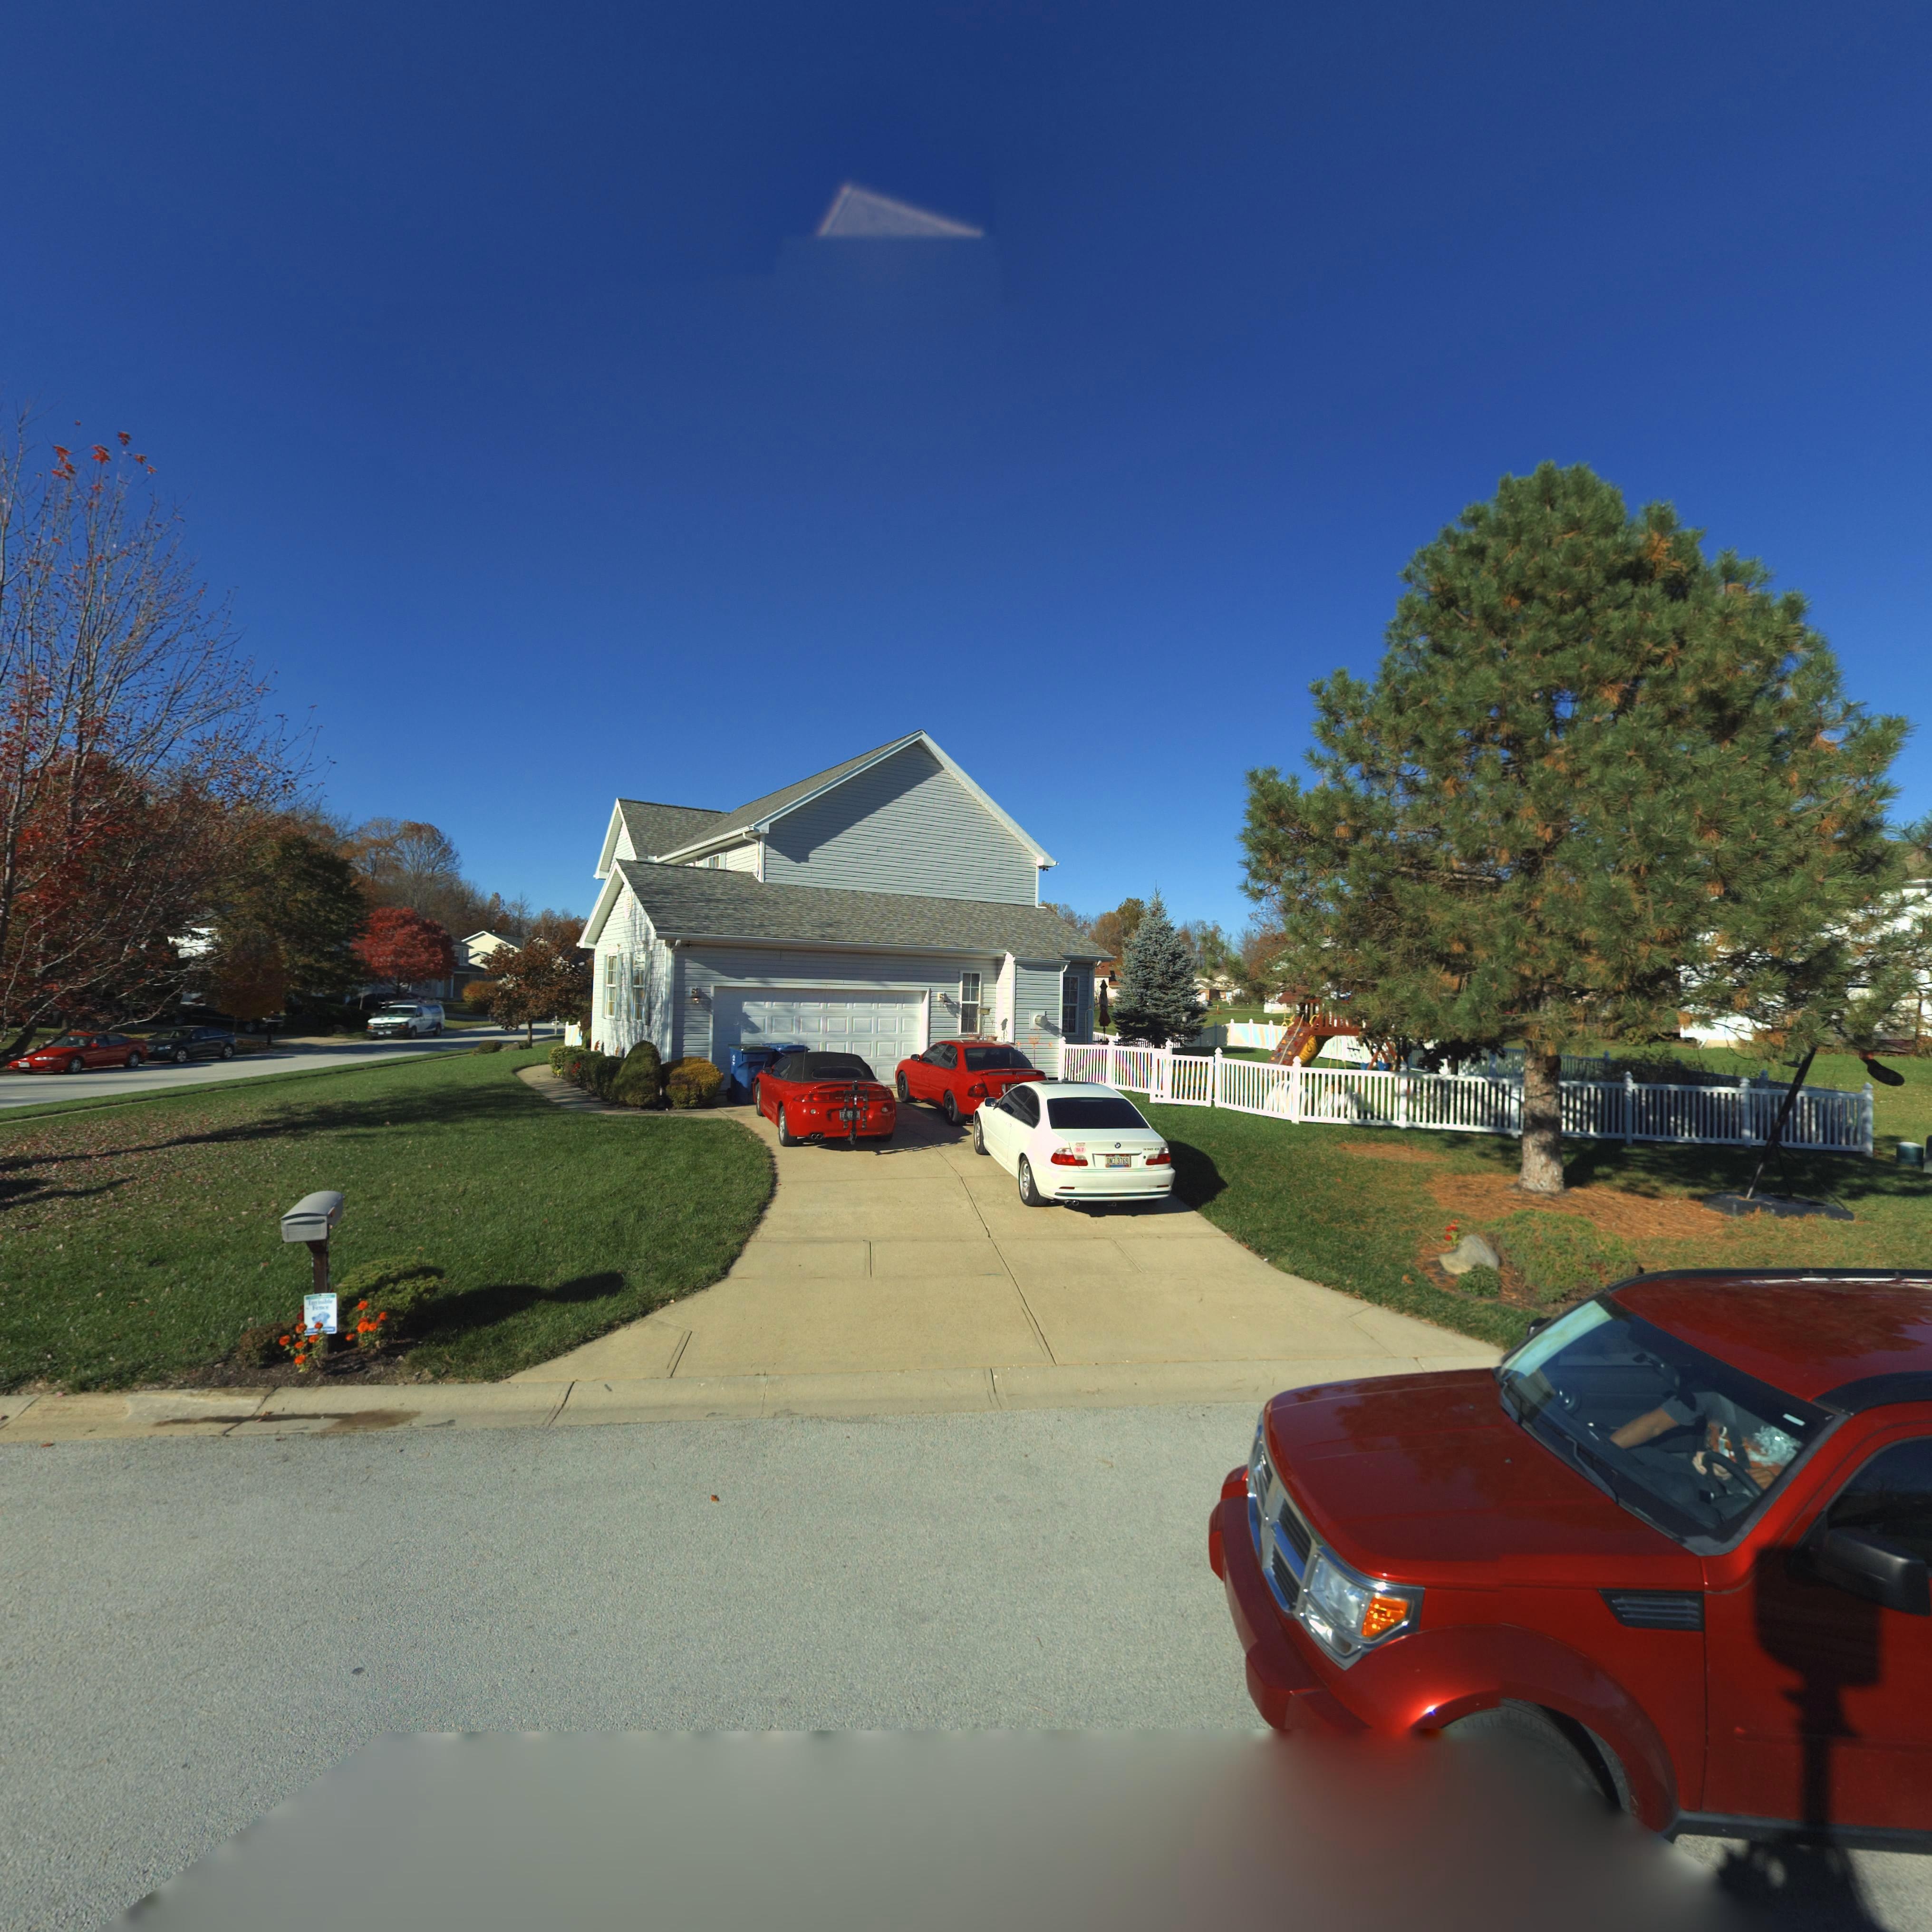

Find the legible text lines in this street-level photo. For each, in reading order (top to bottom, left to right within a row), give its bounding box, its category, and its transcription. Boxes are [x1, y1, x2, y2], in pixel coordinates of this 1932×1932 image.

[325, 1237, 331, 1284] StreetNumber: 634